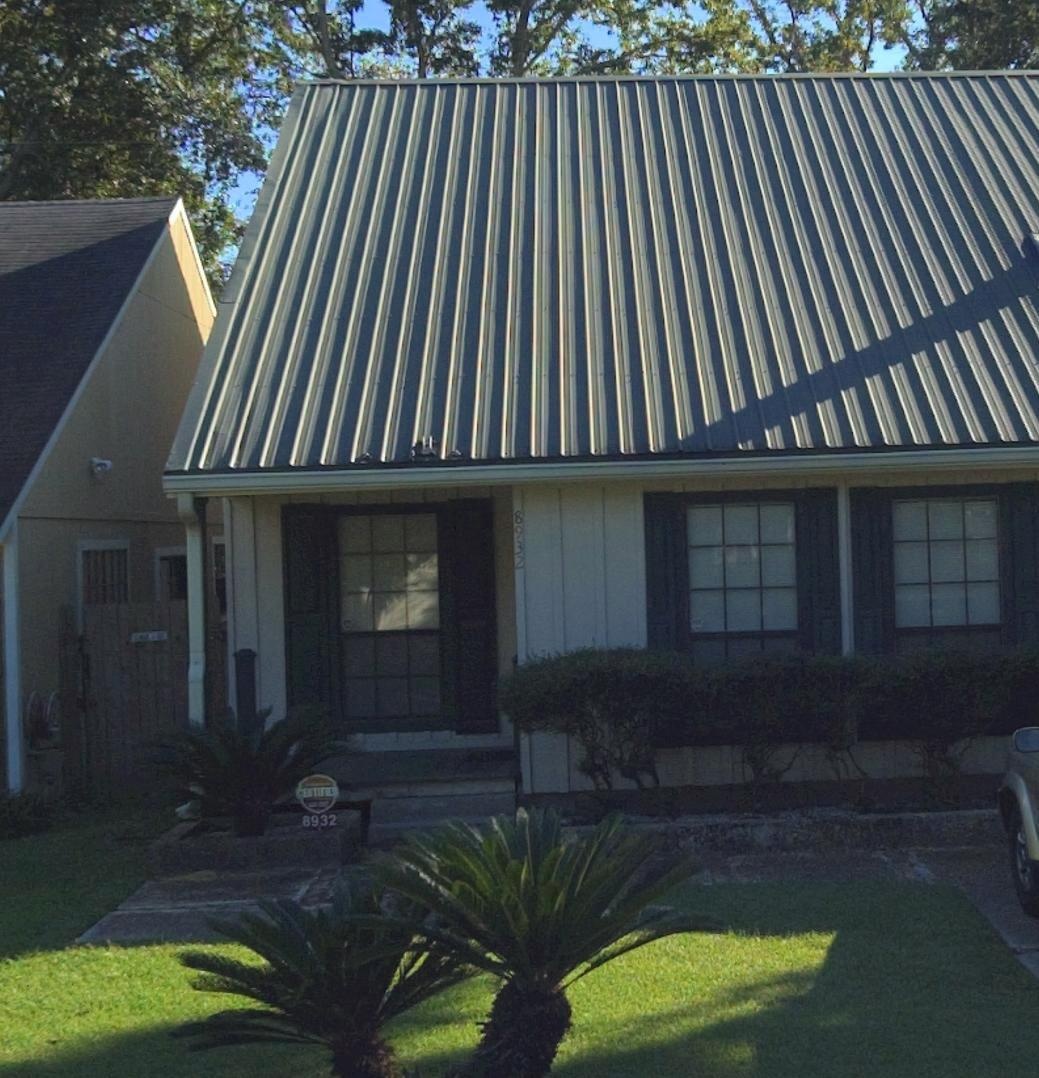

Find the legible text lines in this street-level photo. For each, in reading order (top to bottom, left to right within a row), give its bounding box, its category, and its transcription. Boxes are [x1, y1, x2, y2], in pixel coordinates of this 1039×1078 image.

[513, 508, 524, 570] StreetNumber: 8932
[295, 786, 337, 797] None: CERTIFIED
[302, 813, 338, 828] StreetNumber: 8932